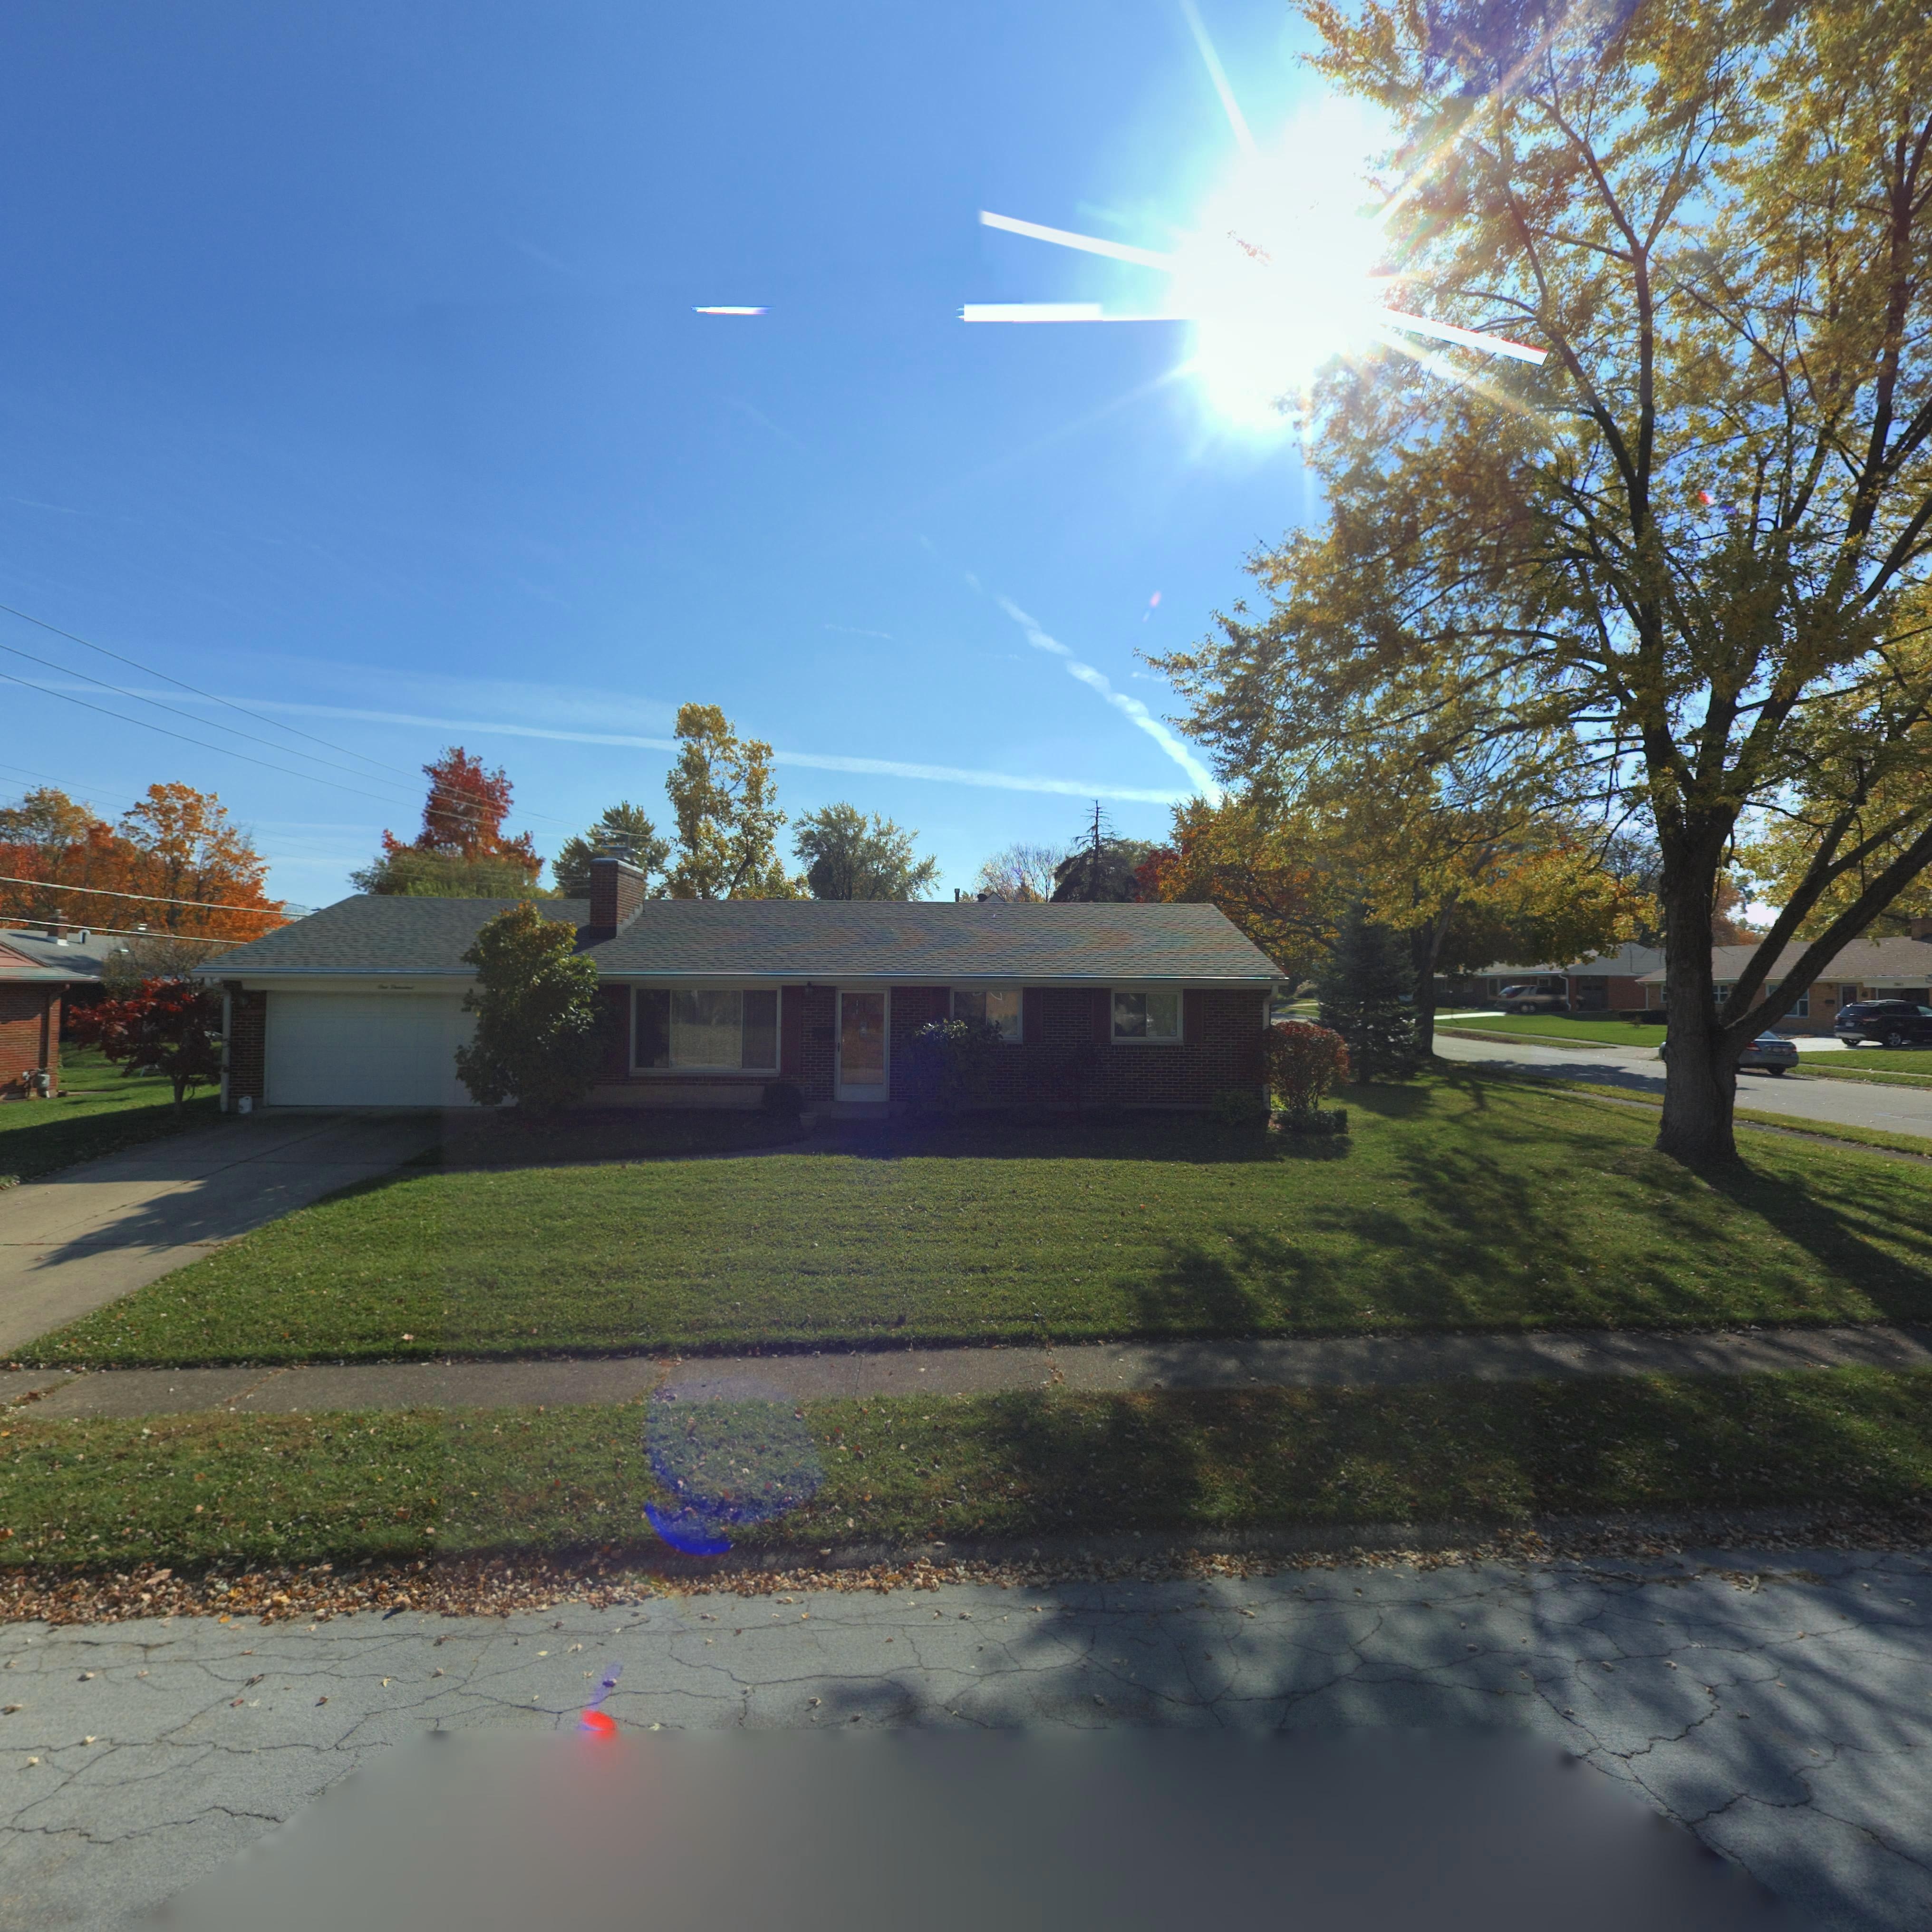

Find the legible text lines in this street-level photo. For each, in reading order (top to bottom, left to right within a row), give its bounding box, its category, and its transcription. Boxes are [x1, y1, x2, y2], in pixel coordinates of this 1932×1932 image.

[377, 983, 389, 990] StreetNumber: O**